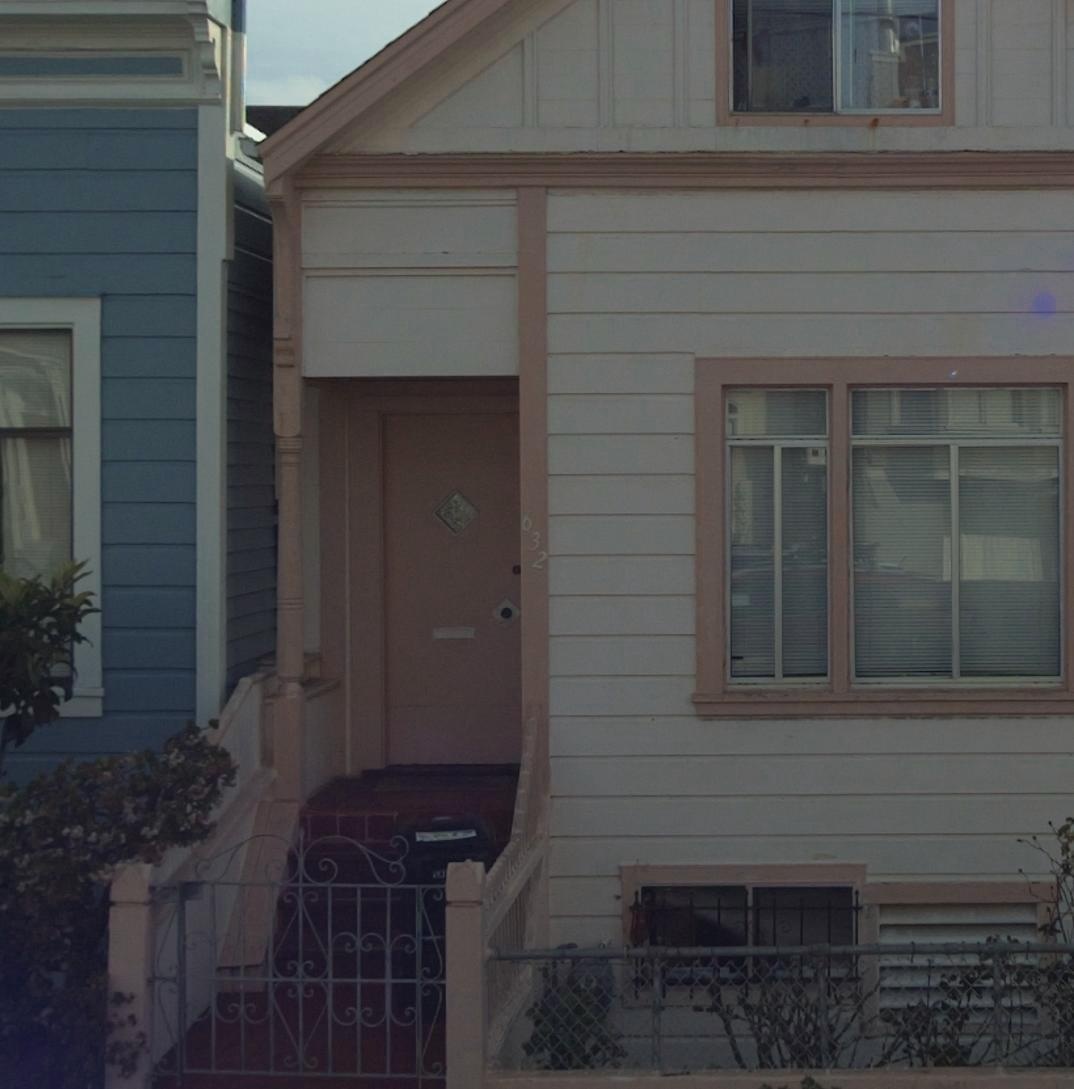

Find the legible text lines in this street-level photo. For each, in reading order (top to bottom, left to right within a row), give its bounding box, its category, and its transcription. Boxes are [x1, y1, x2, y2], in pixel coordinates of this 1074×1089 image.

[518, 508, 551, 573] StreetNumber: 632